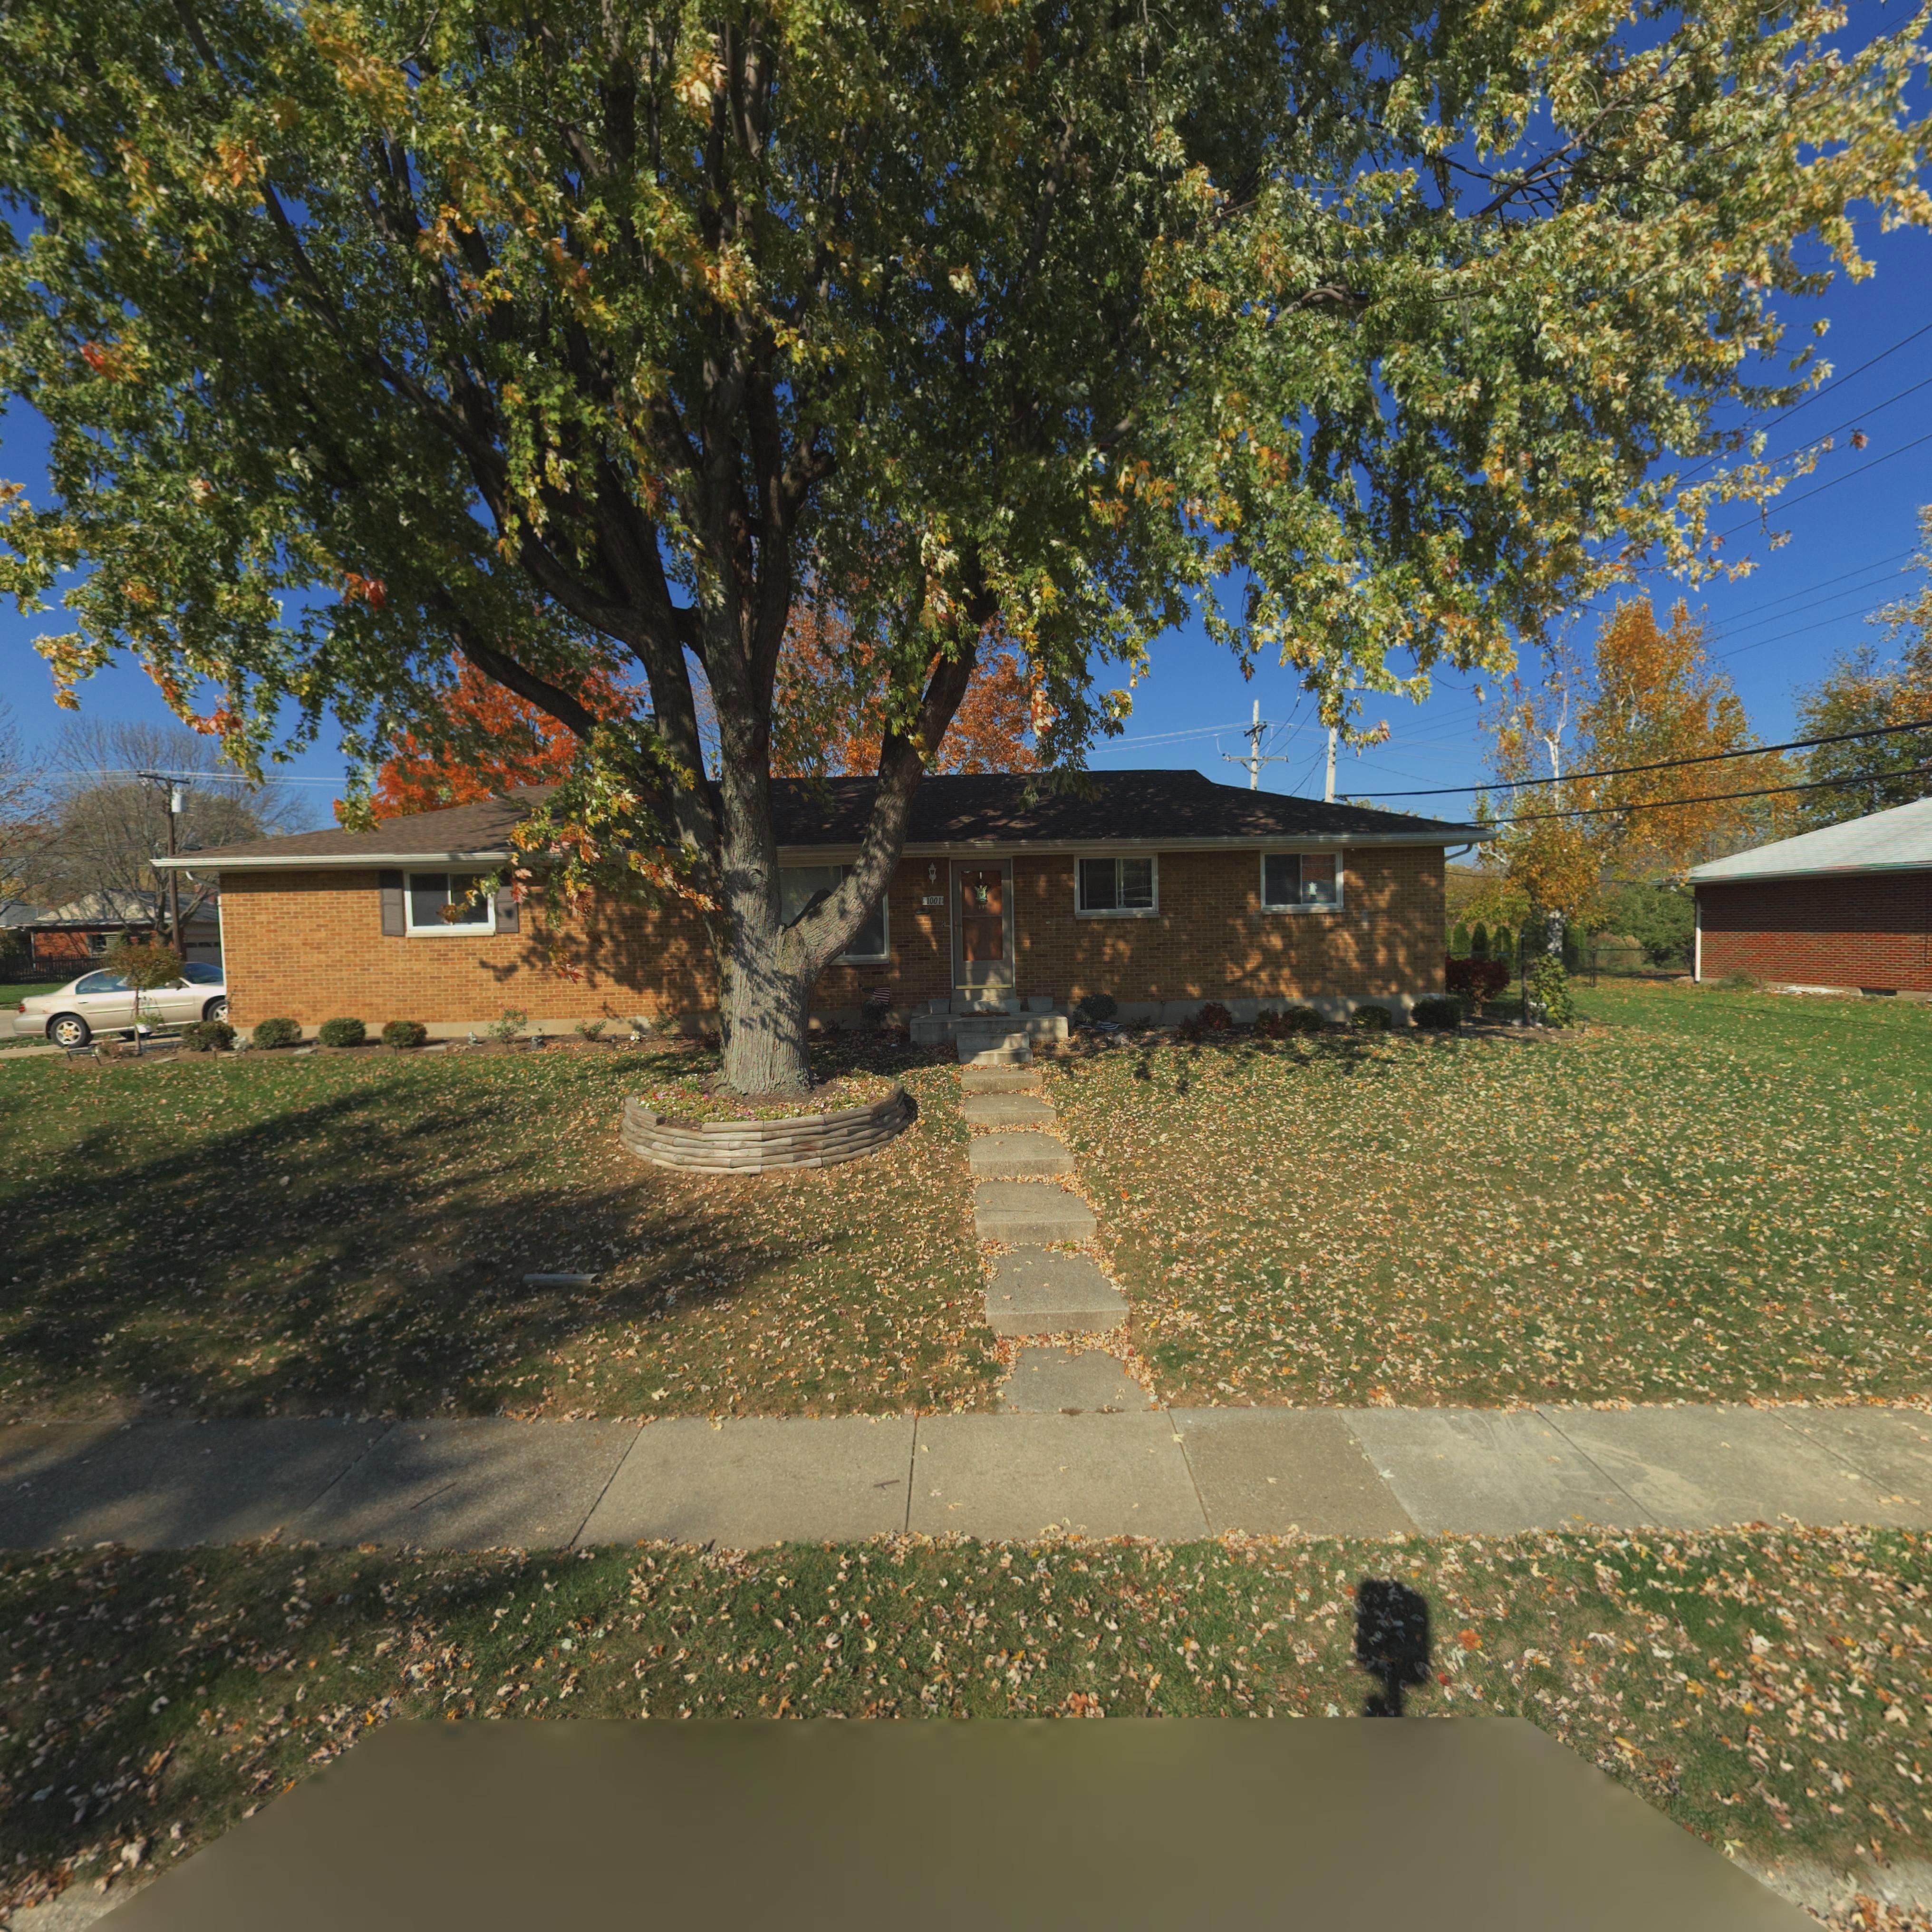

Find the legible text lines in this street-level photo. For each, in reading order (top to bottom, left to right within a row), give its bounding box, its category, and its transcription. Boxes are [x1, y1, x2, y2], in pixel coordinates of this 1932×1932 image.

[926, 896, 942, 905] StreetNumber: 1001